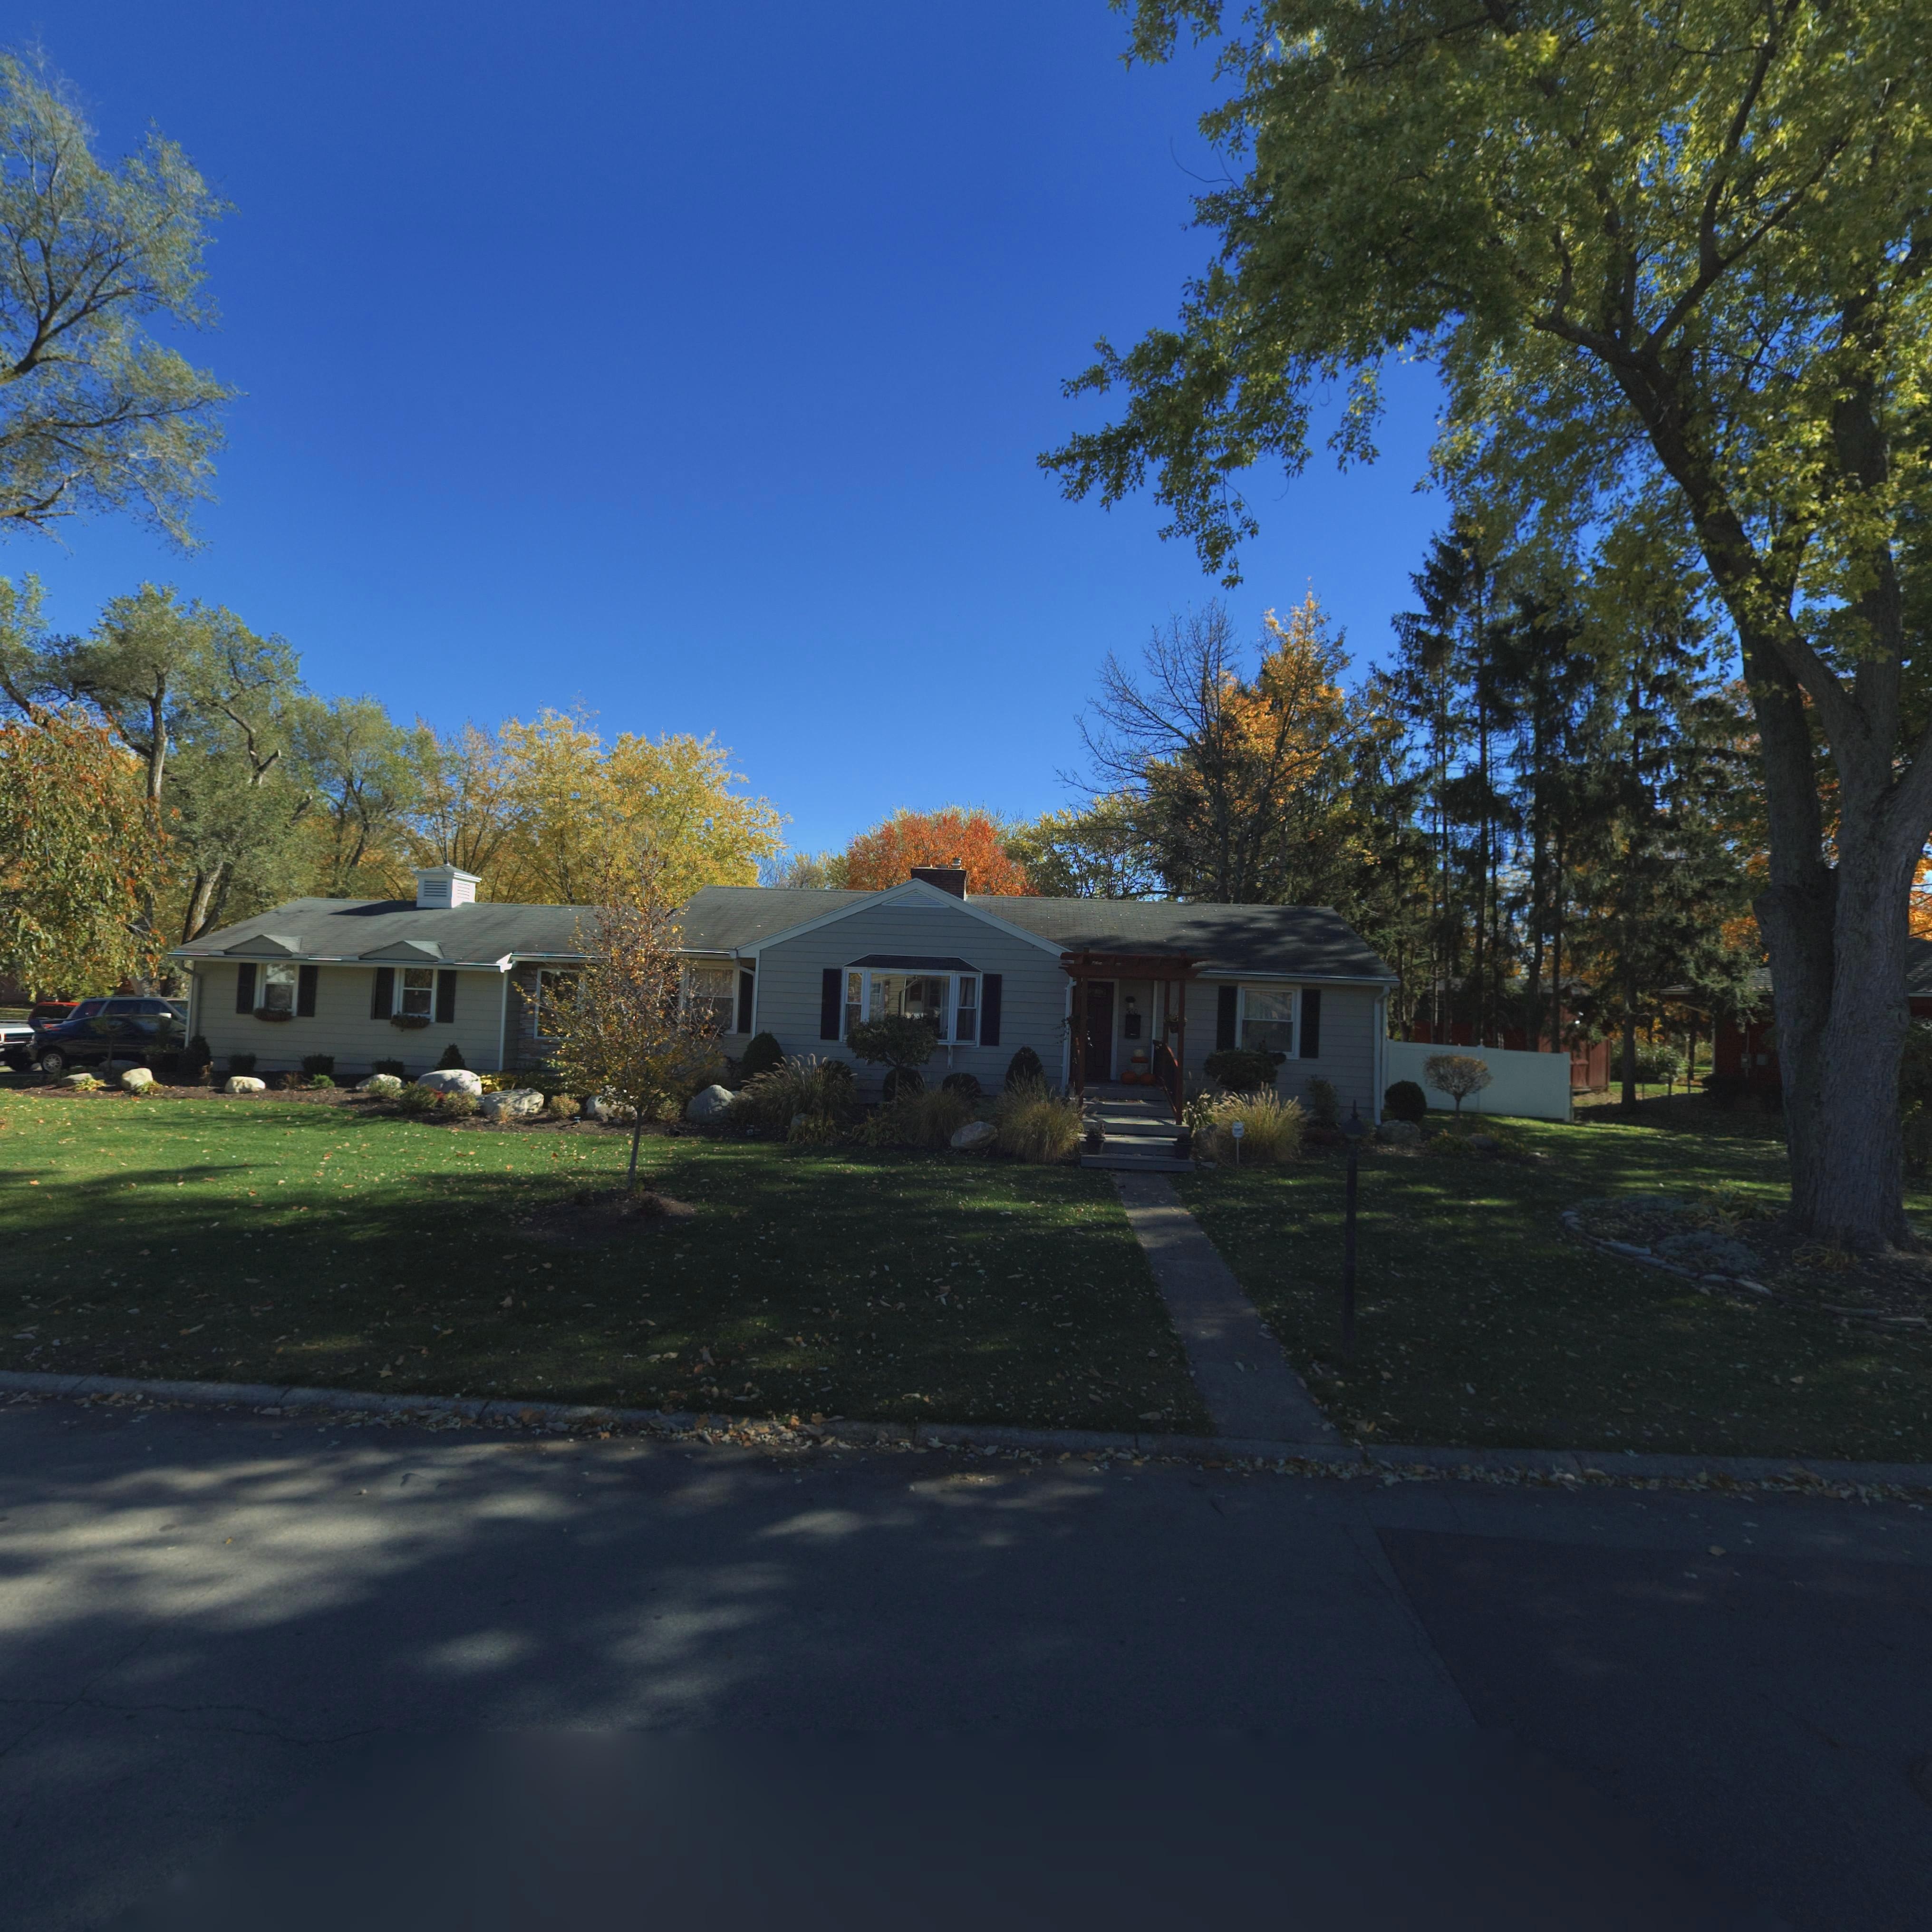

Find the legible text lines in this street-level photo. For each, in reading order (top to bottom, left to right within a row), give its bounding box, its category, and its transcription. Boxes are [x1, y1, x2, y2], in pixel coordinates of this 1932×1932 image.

[1125, 1008, 1139, 1014] StreetNumber: 500